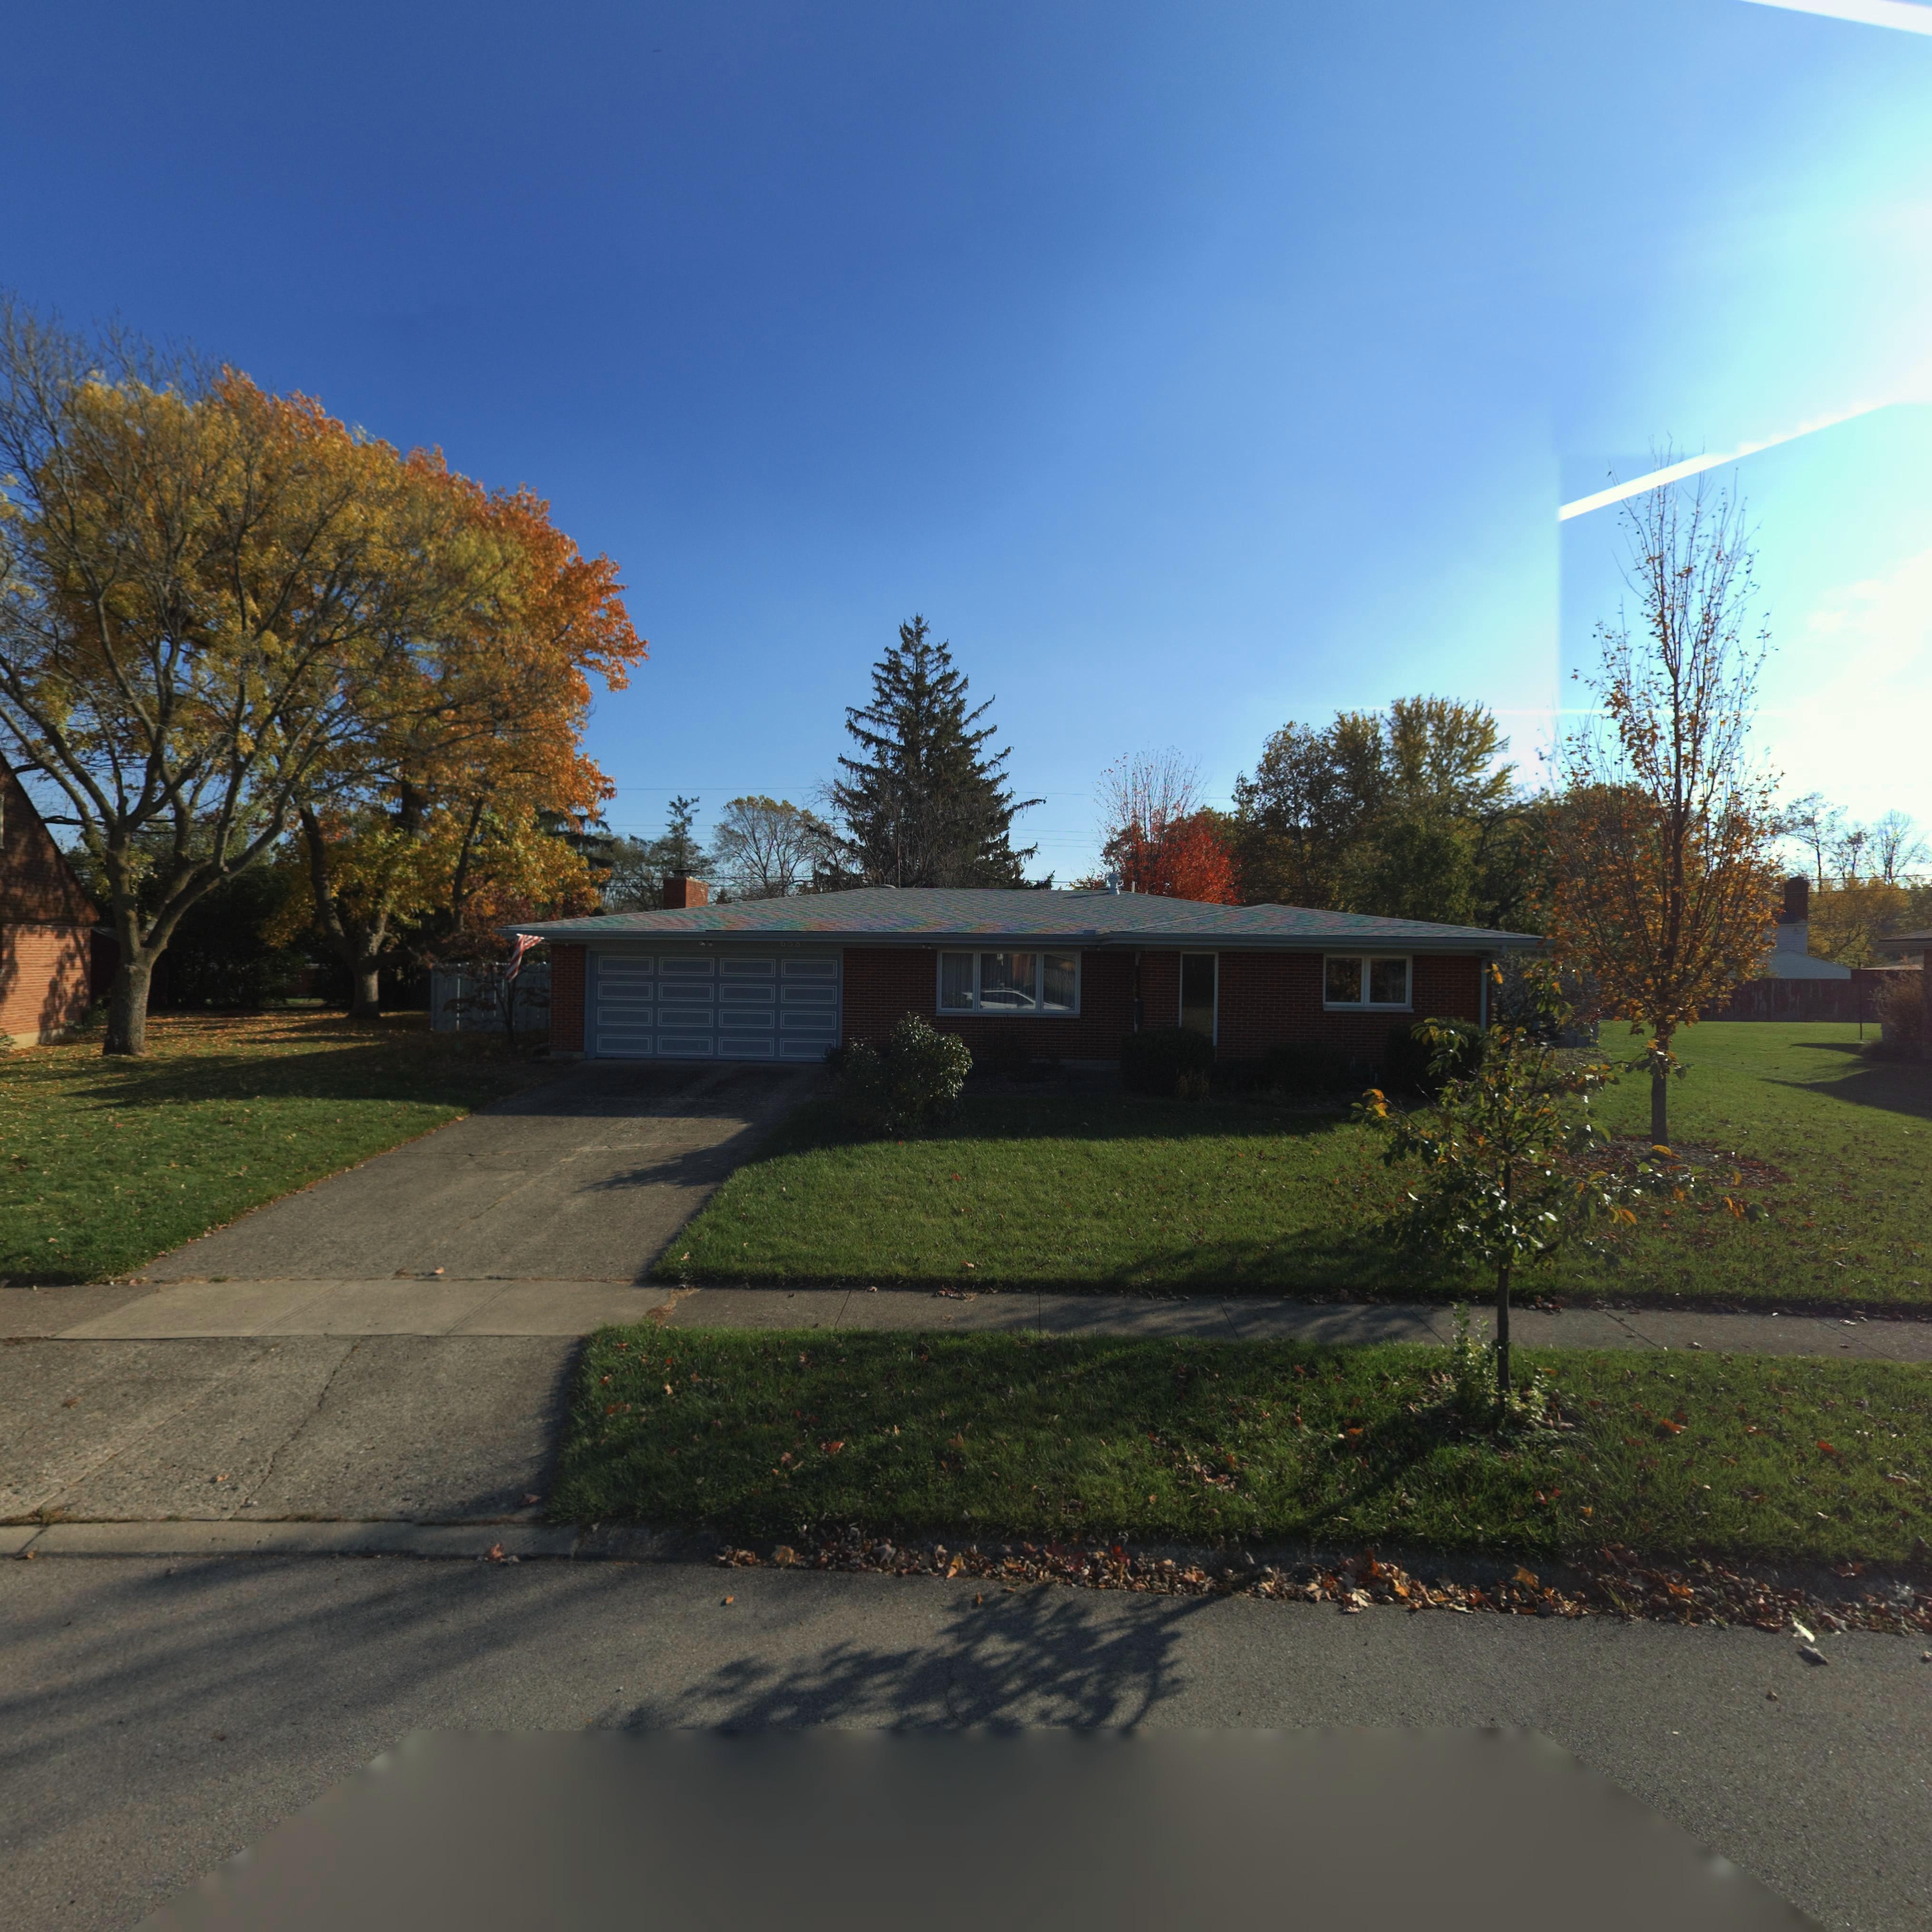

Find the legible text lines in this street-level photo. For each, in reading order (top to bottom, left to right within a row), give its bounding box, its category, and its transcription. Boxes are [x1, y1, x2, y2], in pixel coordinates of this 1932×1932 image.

[780, 939, 800, 947] StreetNumber: 568